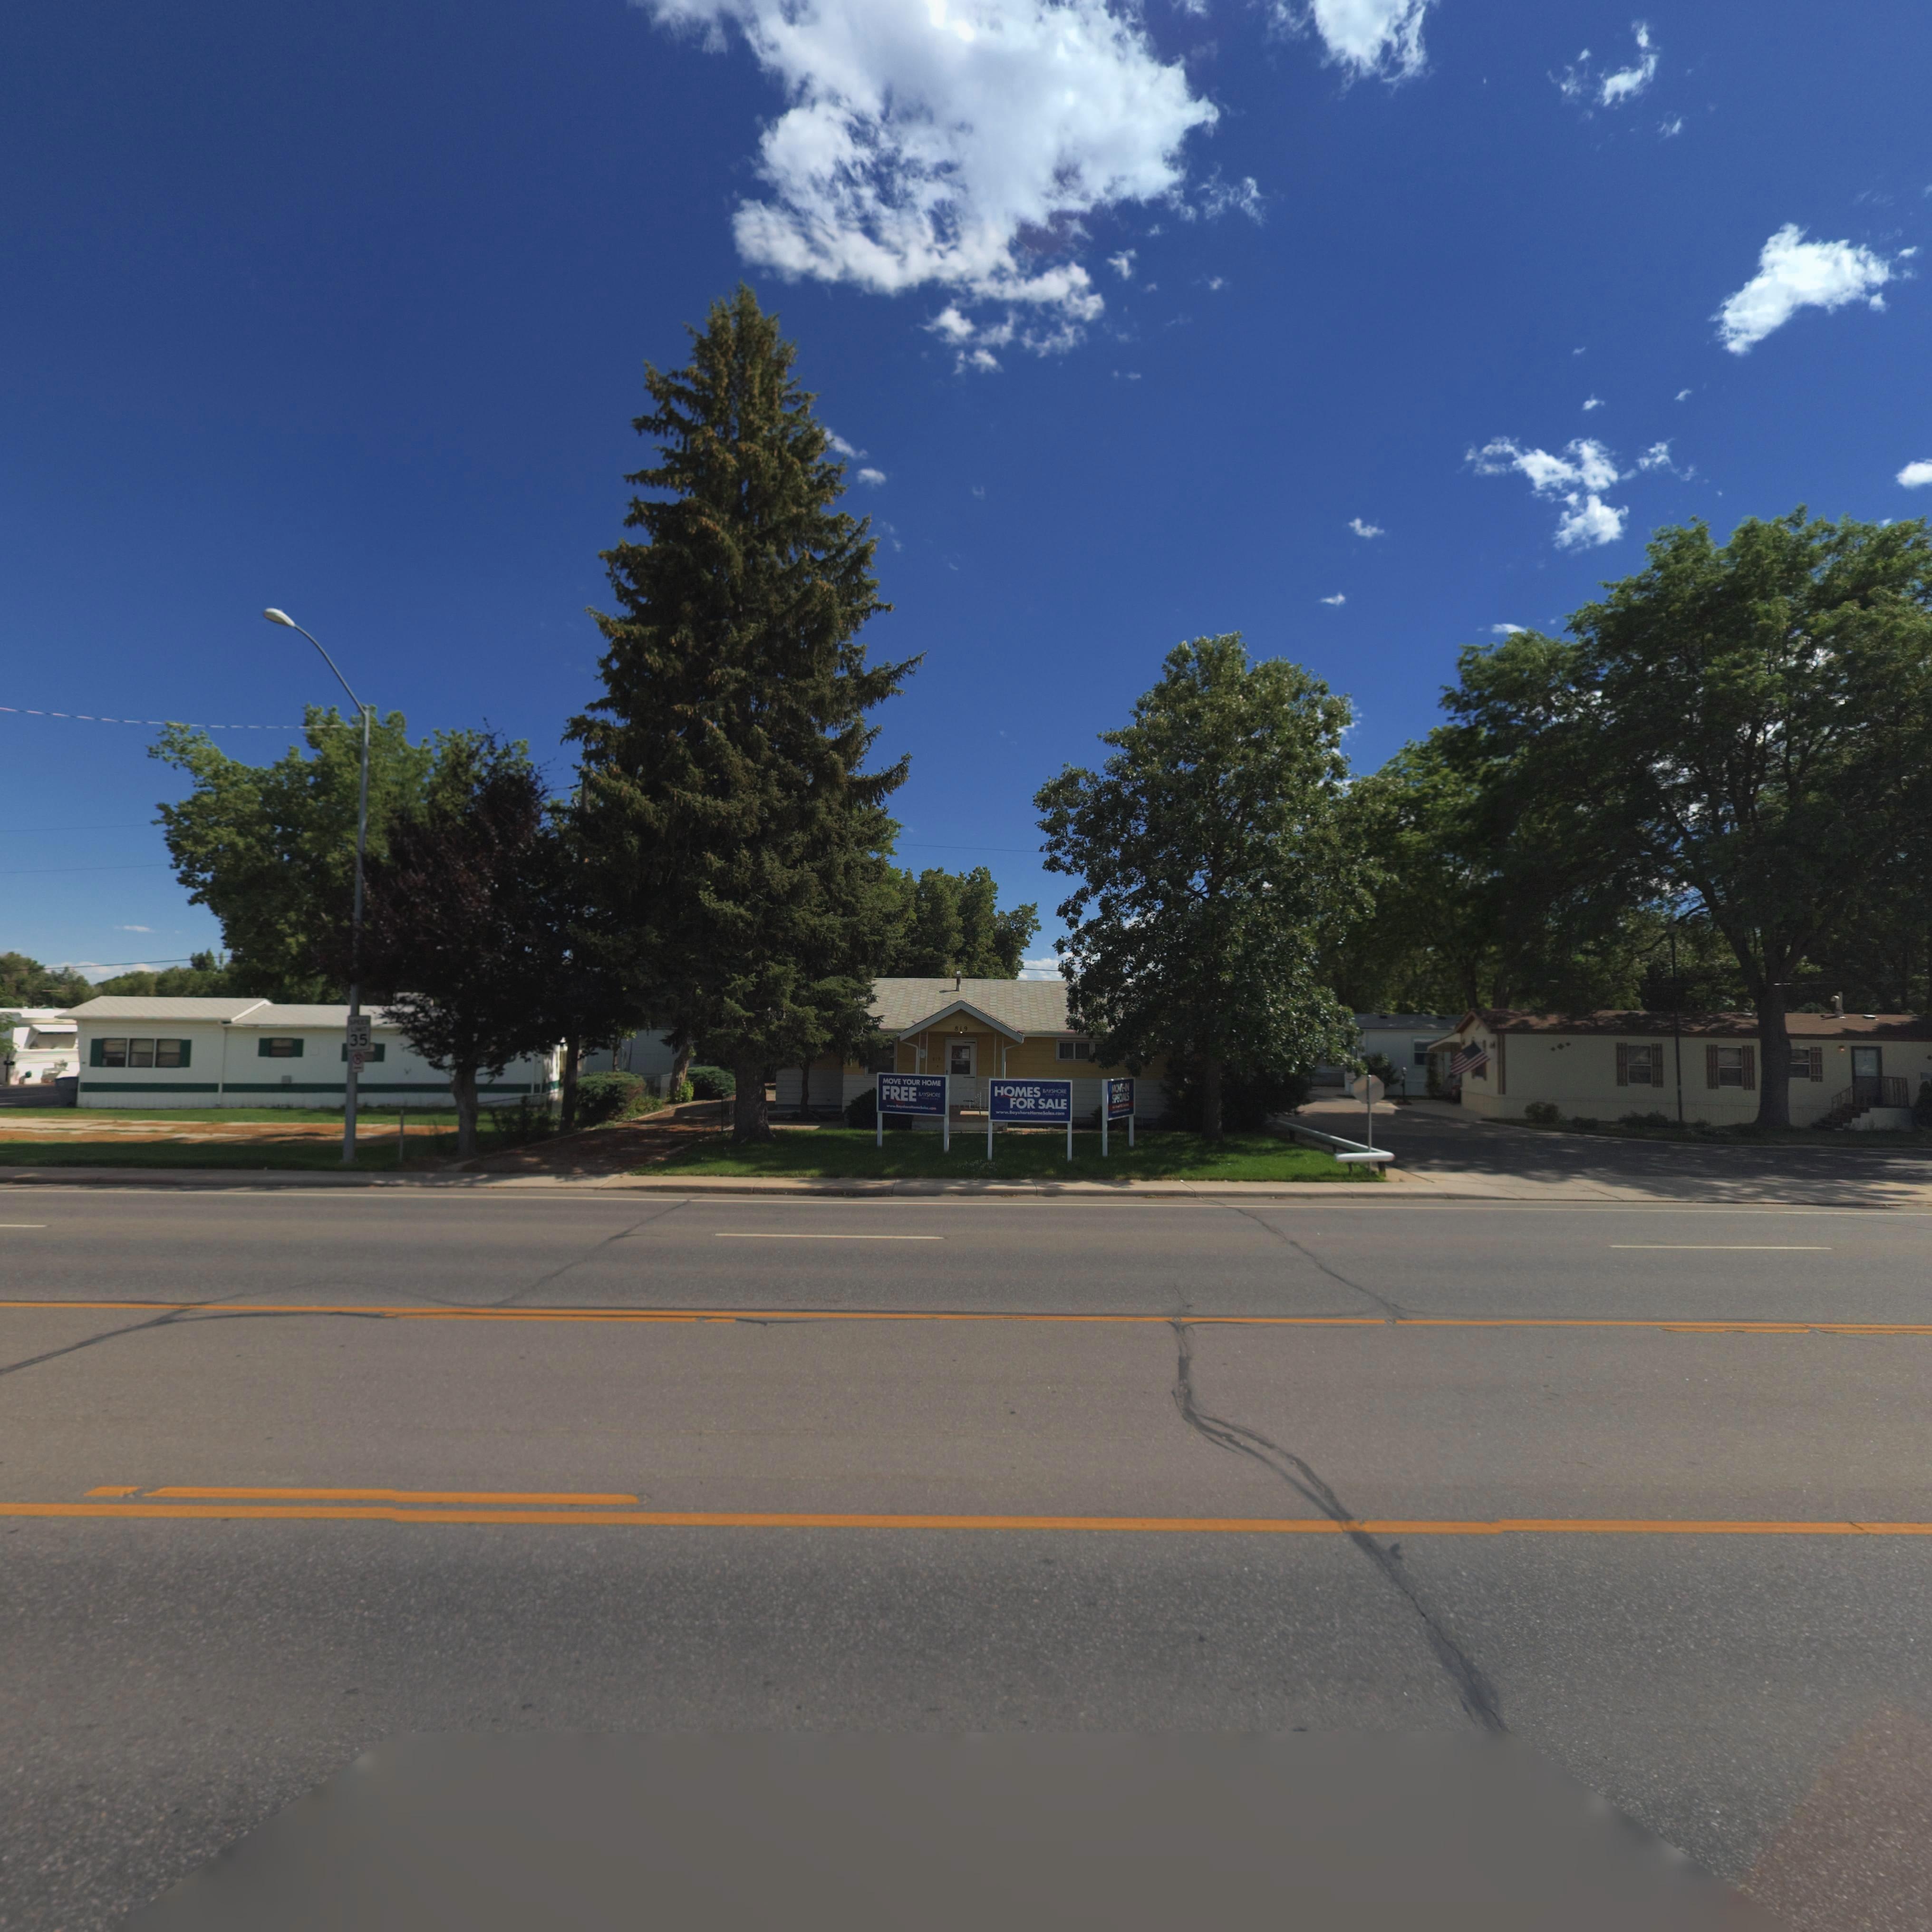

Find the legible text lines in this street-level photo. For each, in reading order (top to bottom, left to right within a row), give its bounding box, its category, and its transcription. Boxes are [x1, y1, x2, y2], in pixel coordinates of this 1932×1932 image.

[954, 1025, 967, 1031] StreetNumber: 819
[932, 1057, 941, 1062] StreetNumber: 81*